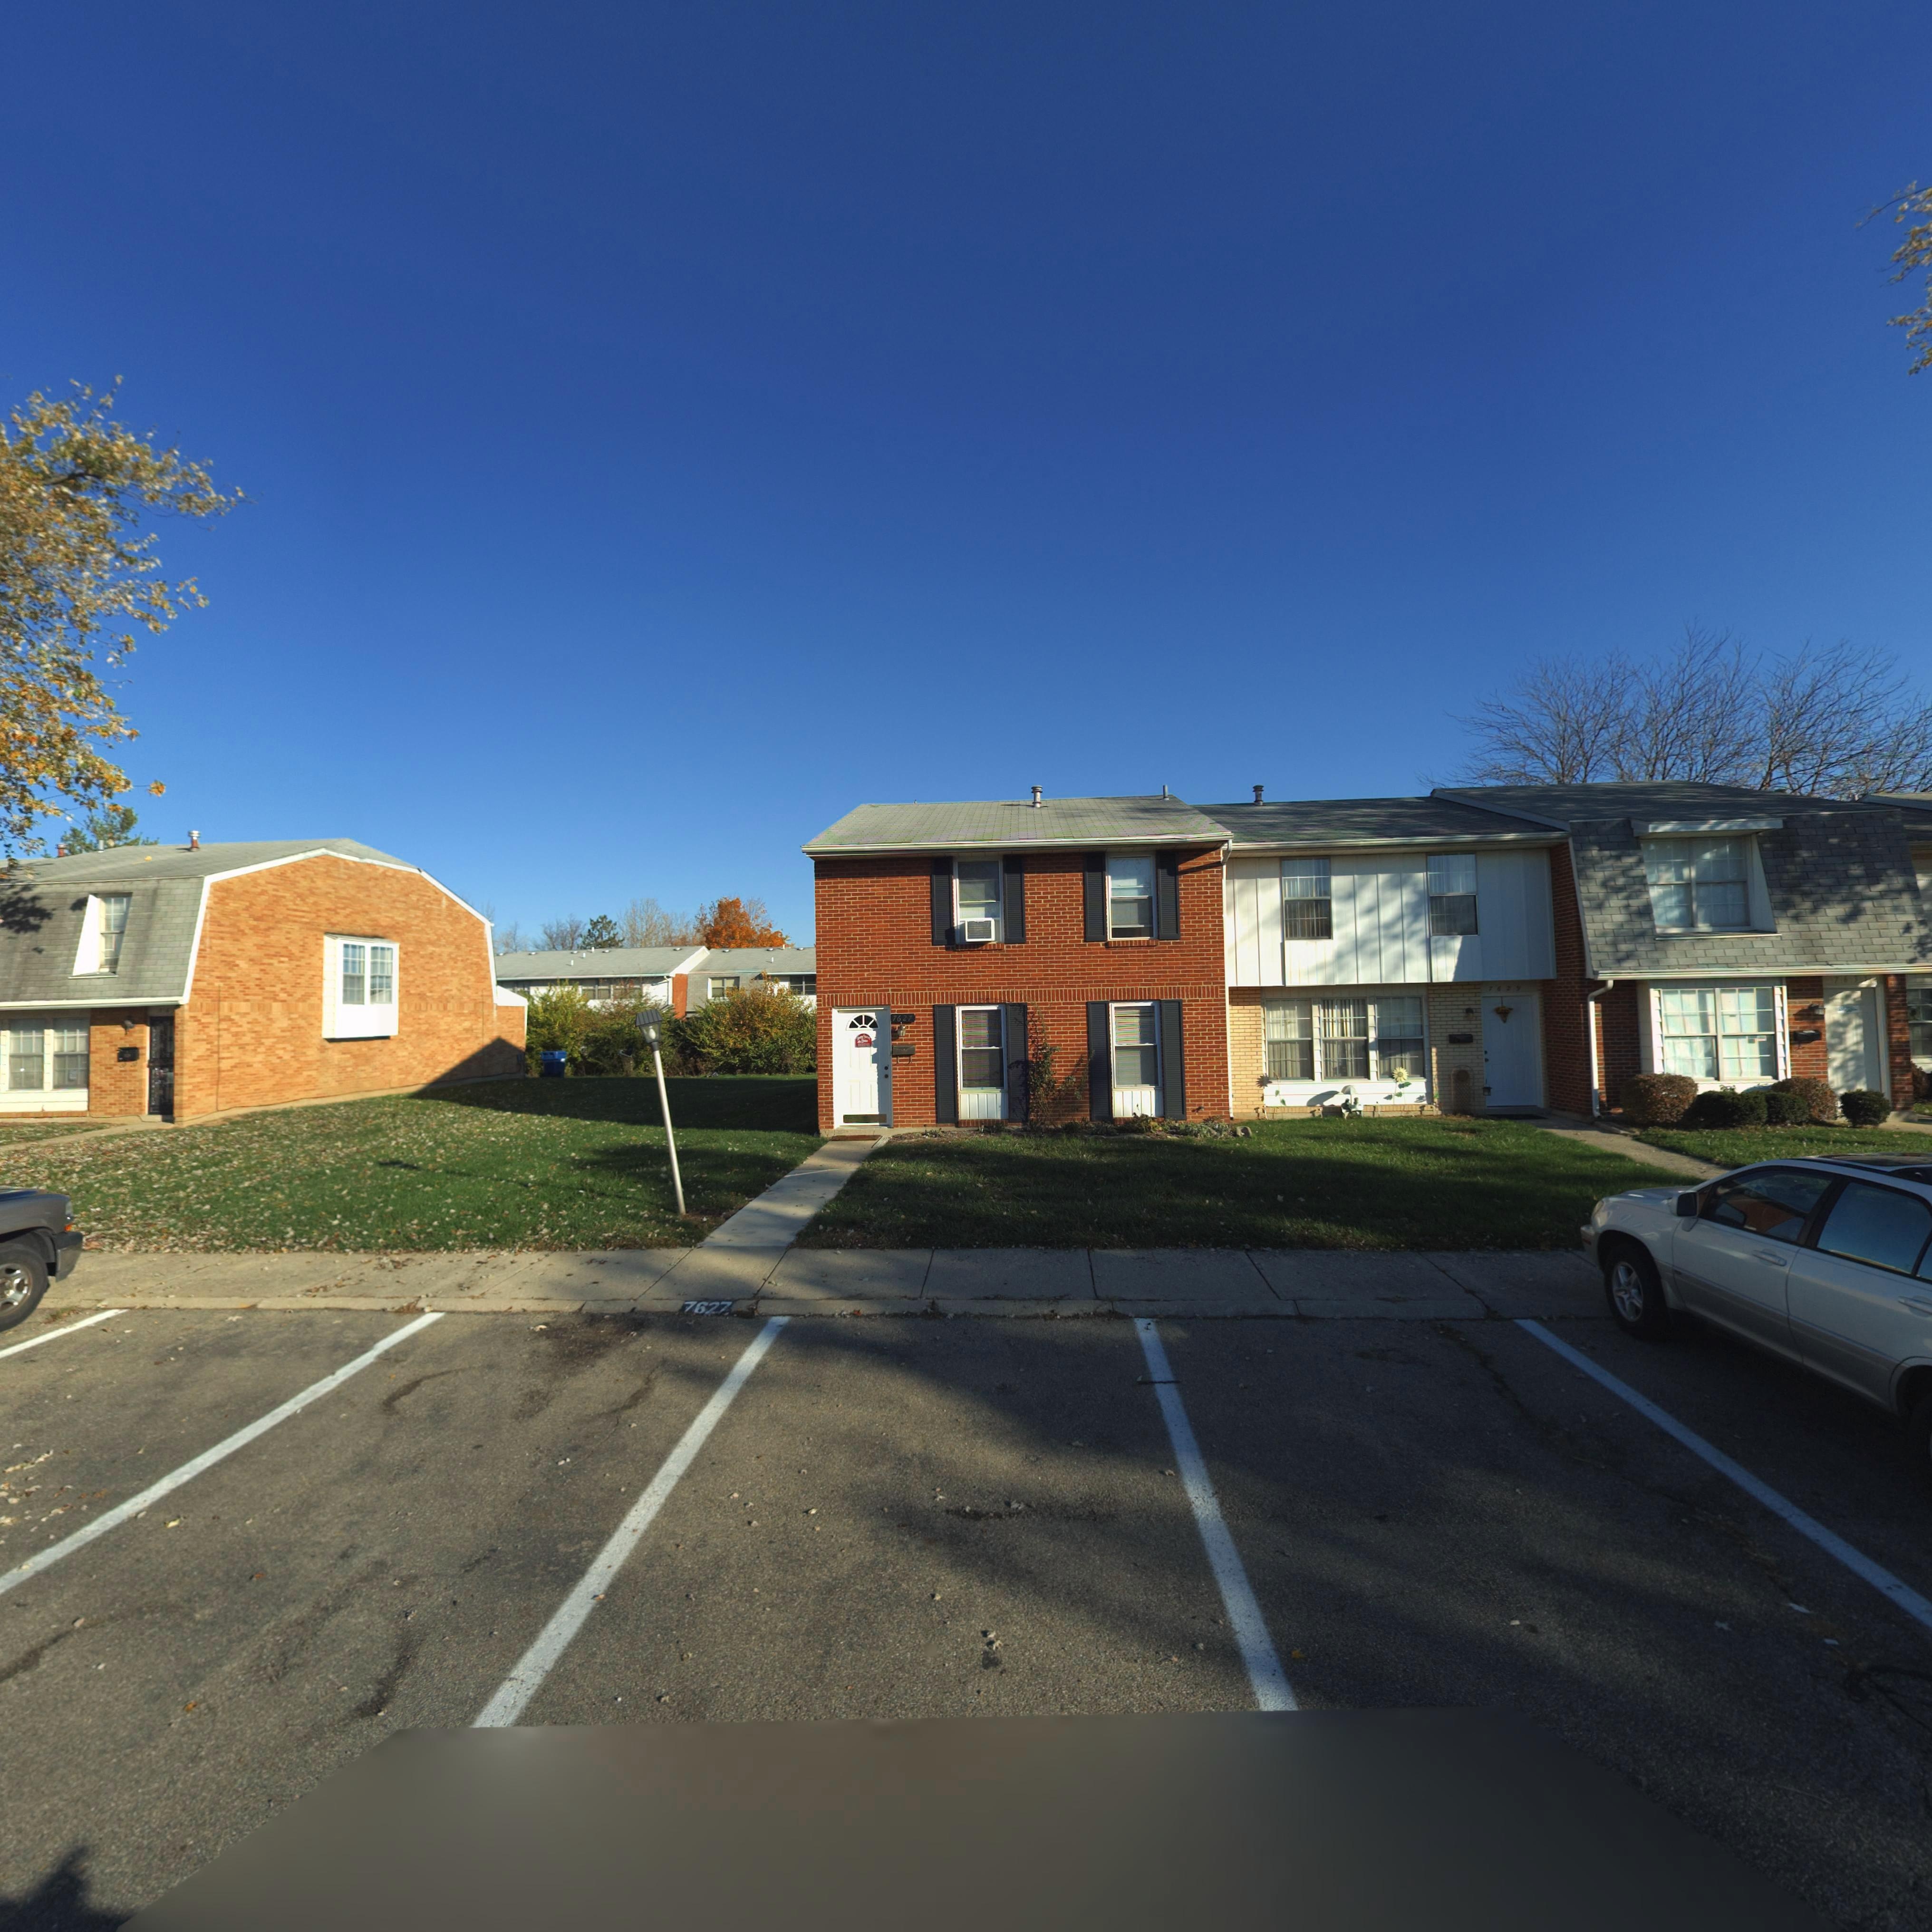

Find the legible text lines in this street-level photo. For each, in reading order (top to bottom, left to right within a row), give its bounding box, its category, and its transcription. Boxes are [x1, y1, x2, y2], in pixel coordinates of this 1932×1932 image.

[1833, 975, 1869, 984] StreetNumber: 763*
[1488, 985, 1522, 992] StreetNumber: 7629
[158, 1007, 171, 1013] StreetNumber: 76
[892, 1014, 913, 1022] StreetNumber: 7627
[683, 1301, 734, 1315] StreetNumber: 7627